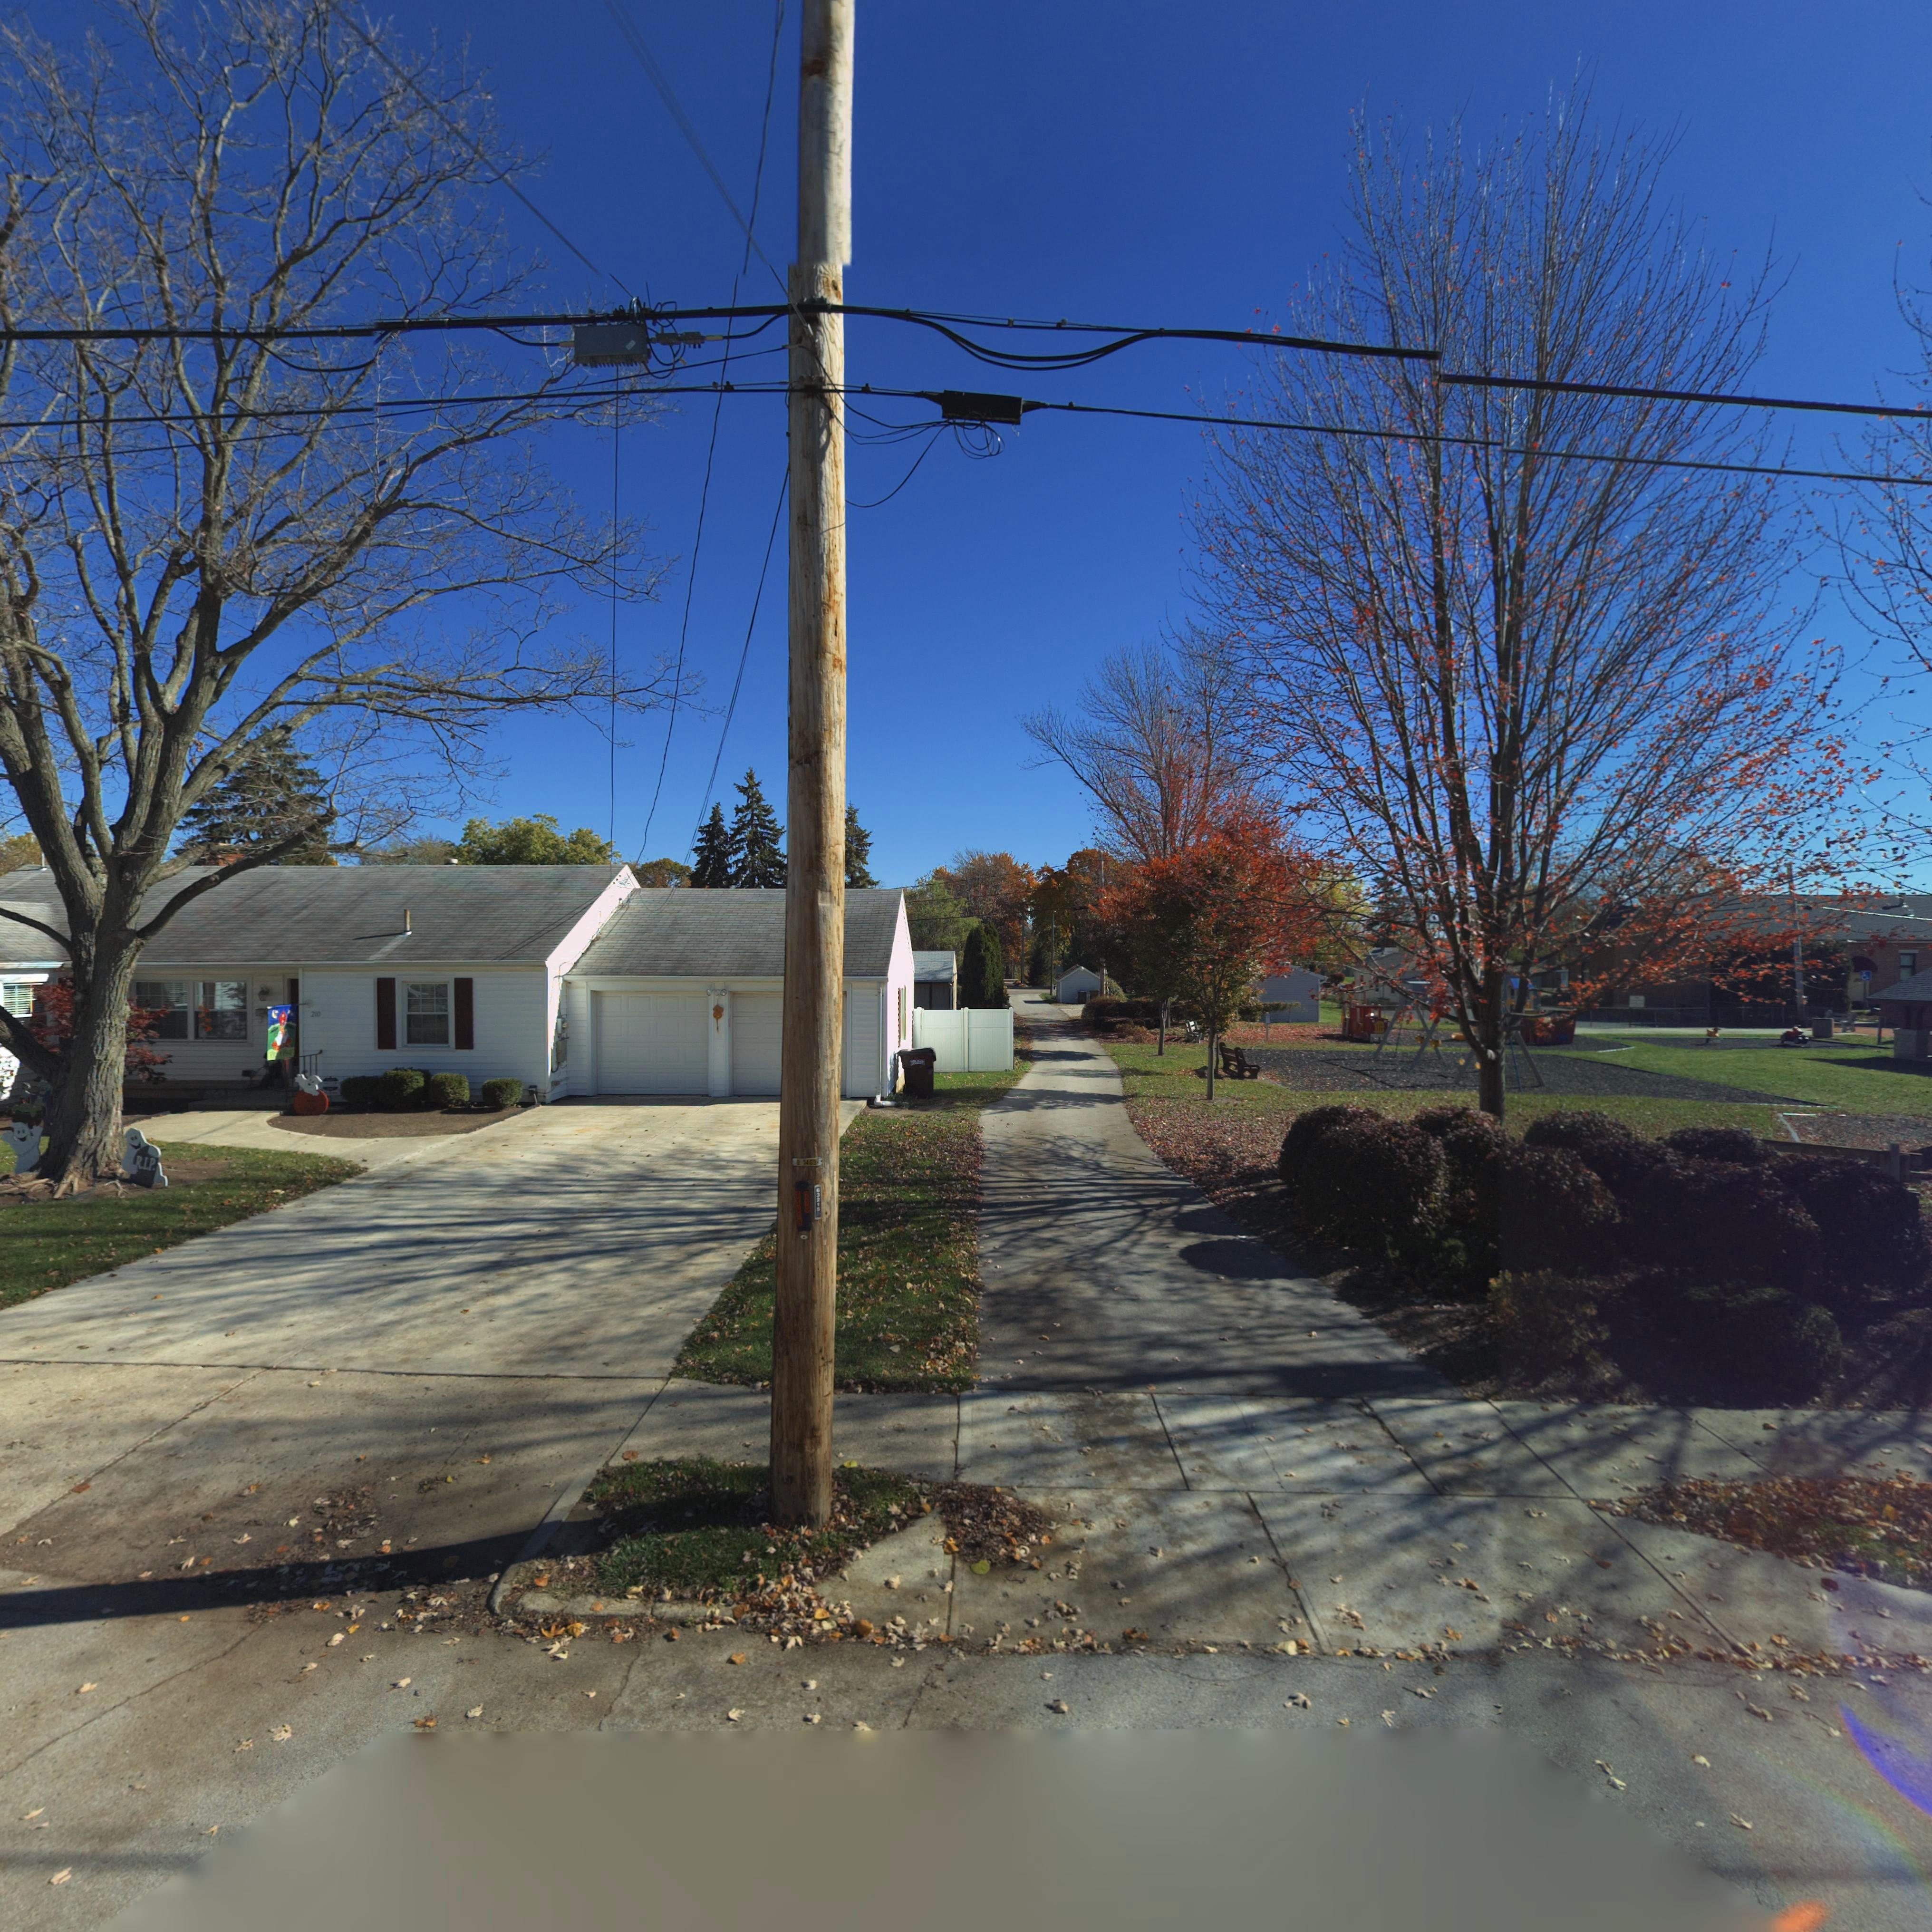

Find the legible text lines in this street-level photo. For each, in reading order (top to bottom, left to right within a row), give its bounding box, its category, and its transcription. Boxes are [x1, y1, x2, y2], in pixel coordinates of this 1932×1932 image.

[310, 1011, 321, 1017] StreetNumber: 210
[142, 1156, 157, 1172] None: I.P
[796, 1159, 817, 1166] None: 9**463
[795, 1198, 802, 1226] None: 90*9
[804, 1191, 810, 1213] None: 210
[815, 1187, 821, 1212] None: 63215